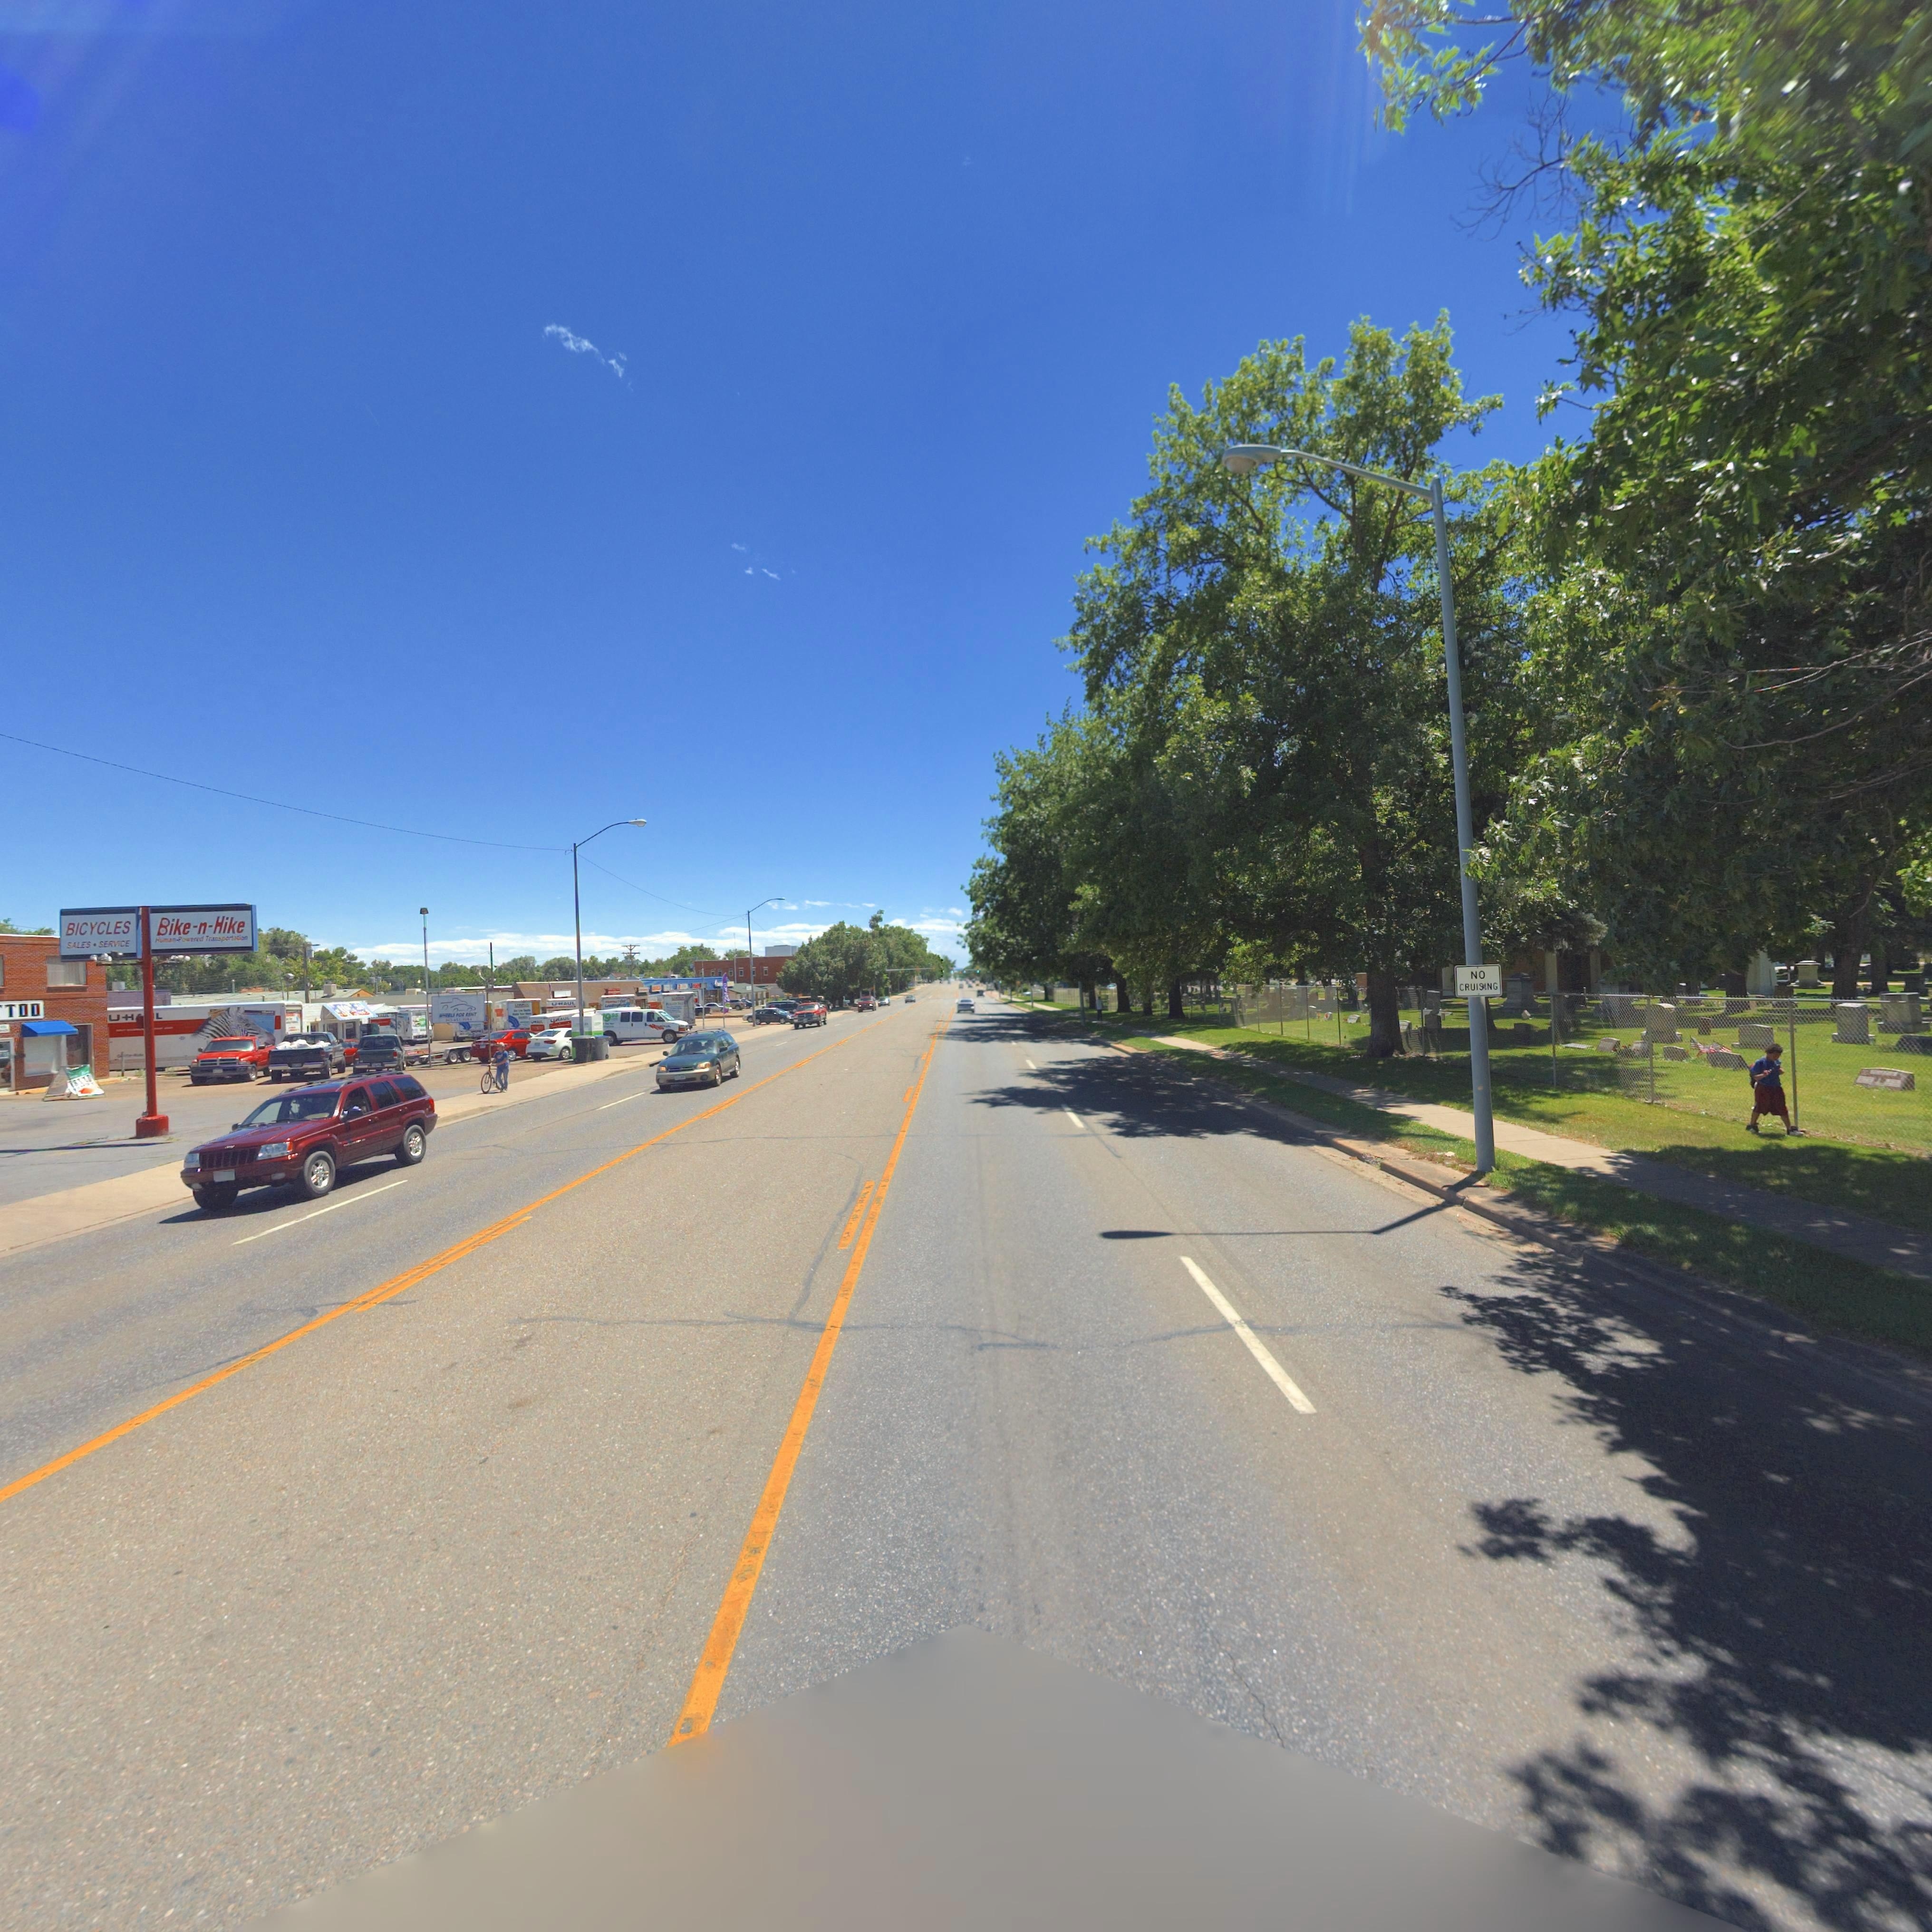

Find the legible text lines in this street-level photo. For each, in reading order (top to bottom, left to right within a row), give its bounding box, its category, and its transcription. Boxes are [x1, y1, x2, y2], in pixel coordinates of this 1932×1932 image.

[156, 914, 246, 936] BusinessName: Bike-n-Hike
[155, 934, 248, 943] BusinessName: Human-Powered Transportation
[439, 1012, 477, 1018] BusinessName: WHEELS FOR RENT